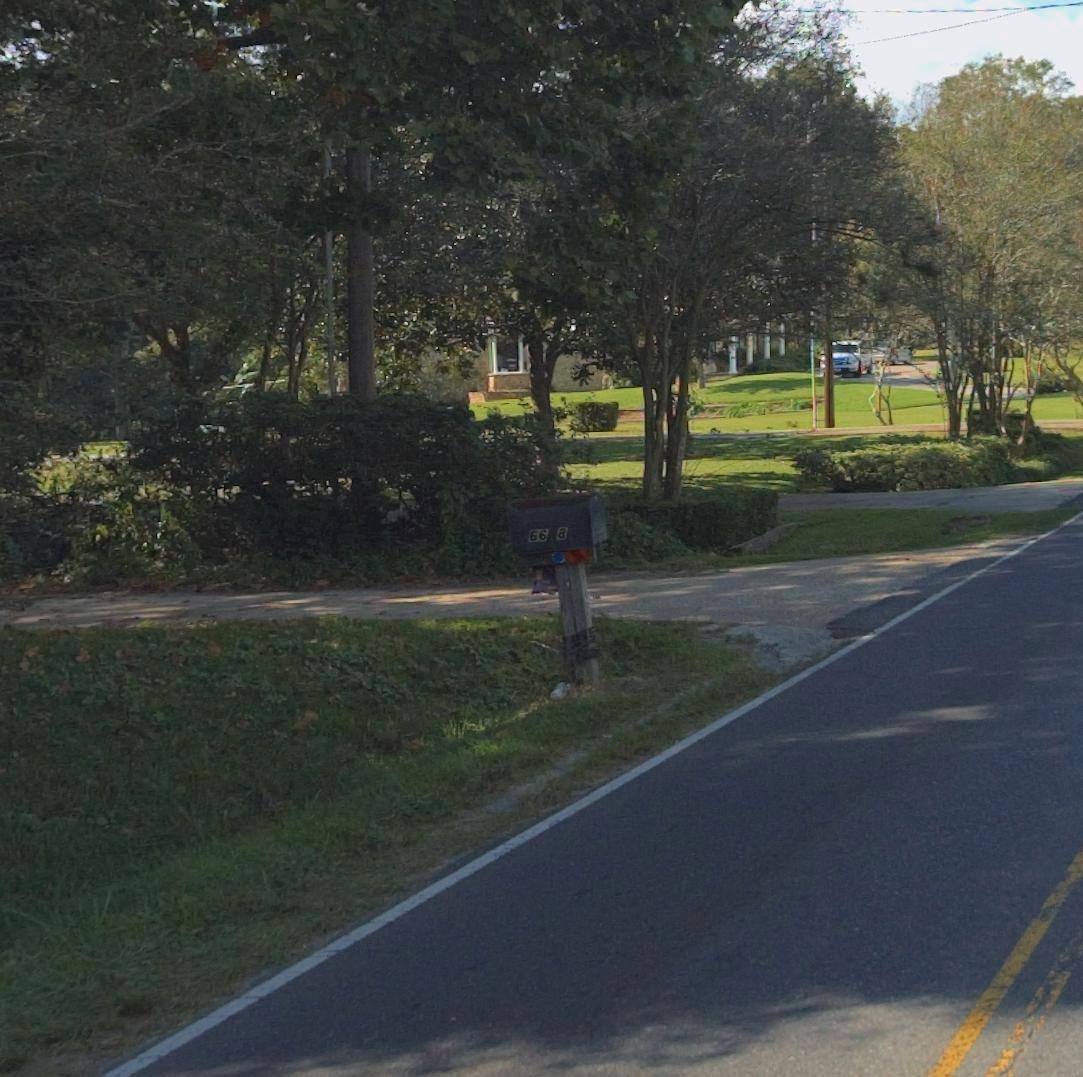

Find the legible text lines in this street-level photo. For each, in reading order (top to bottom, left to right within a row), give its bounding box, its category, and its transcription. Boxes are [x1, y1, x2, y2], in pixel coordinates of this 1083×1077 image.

[530, 527, 567, 542] StreetNumber: 66 8